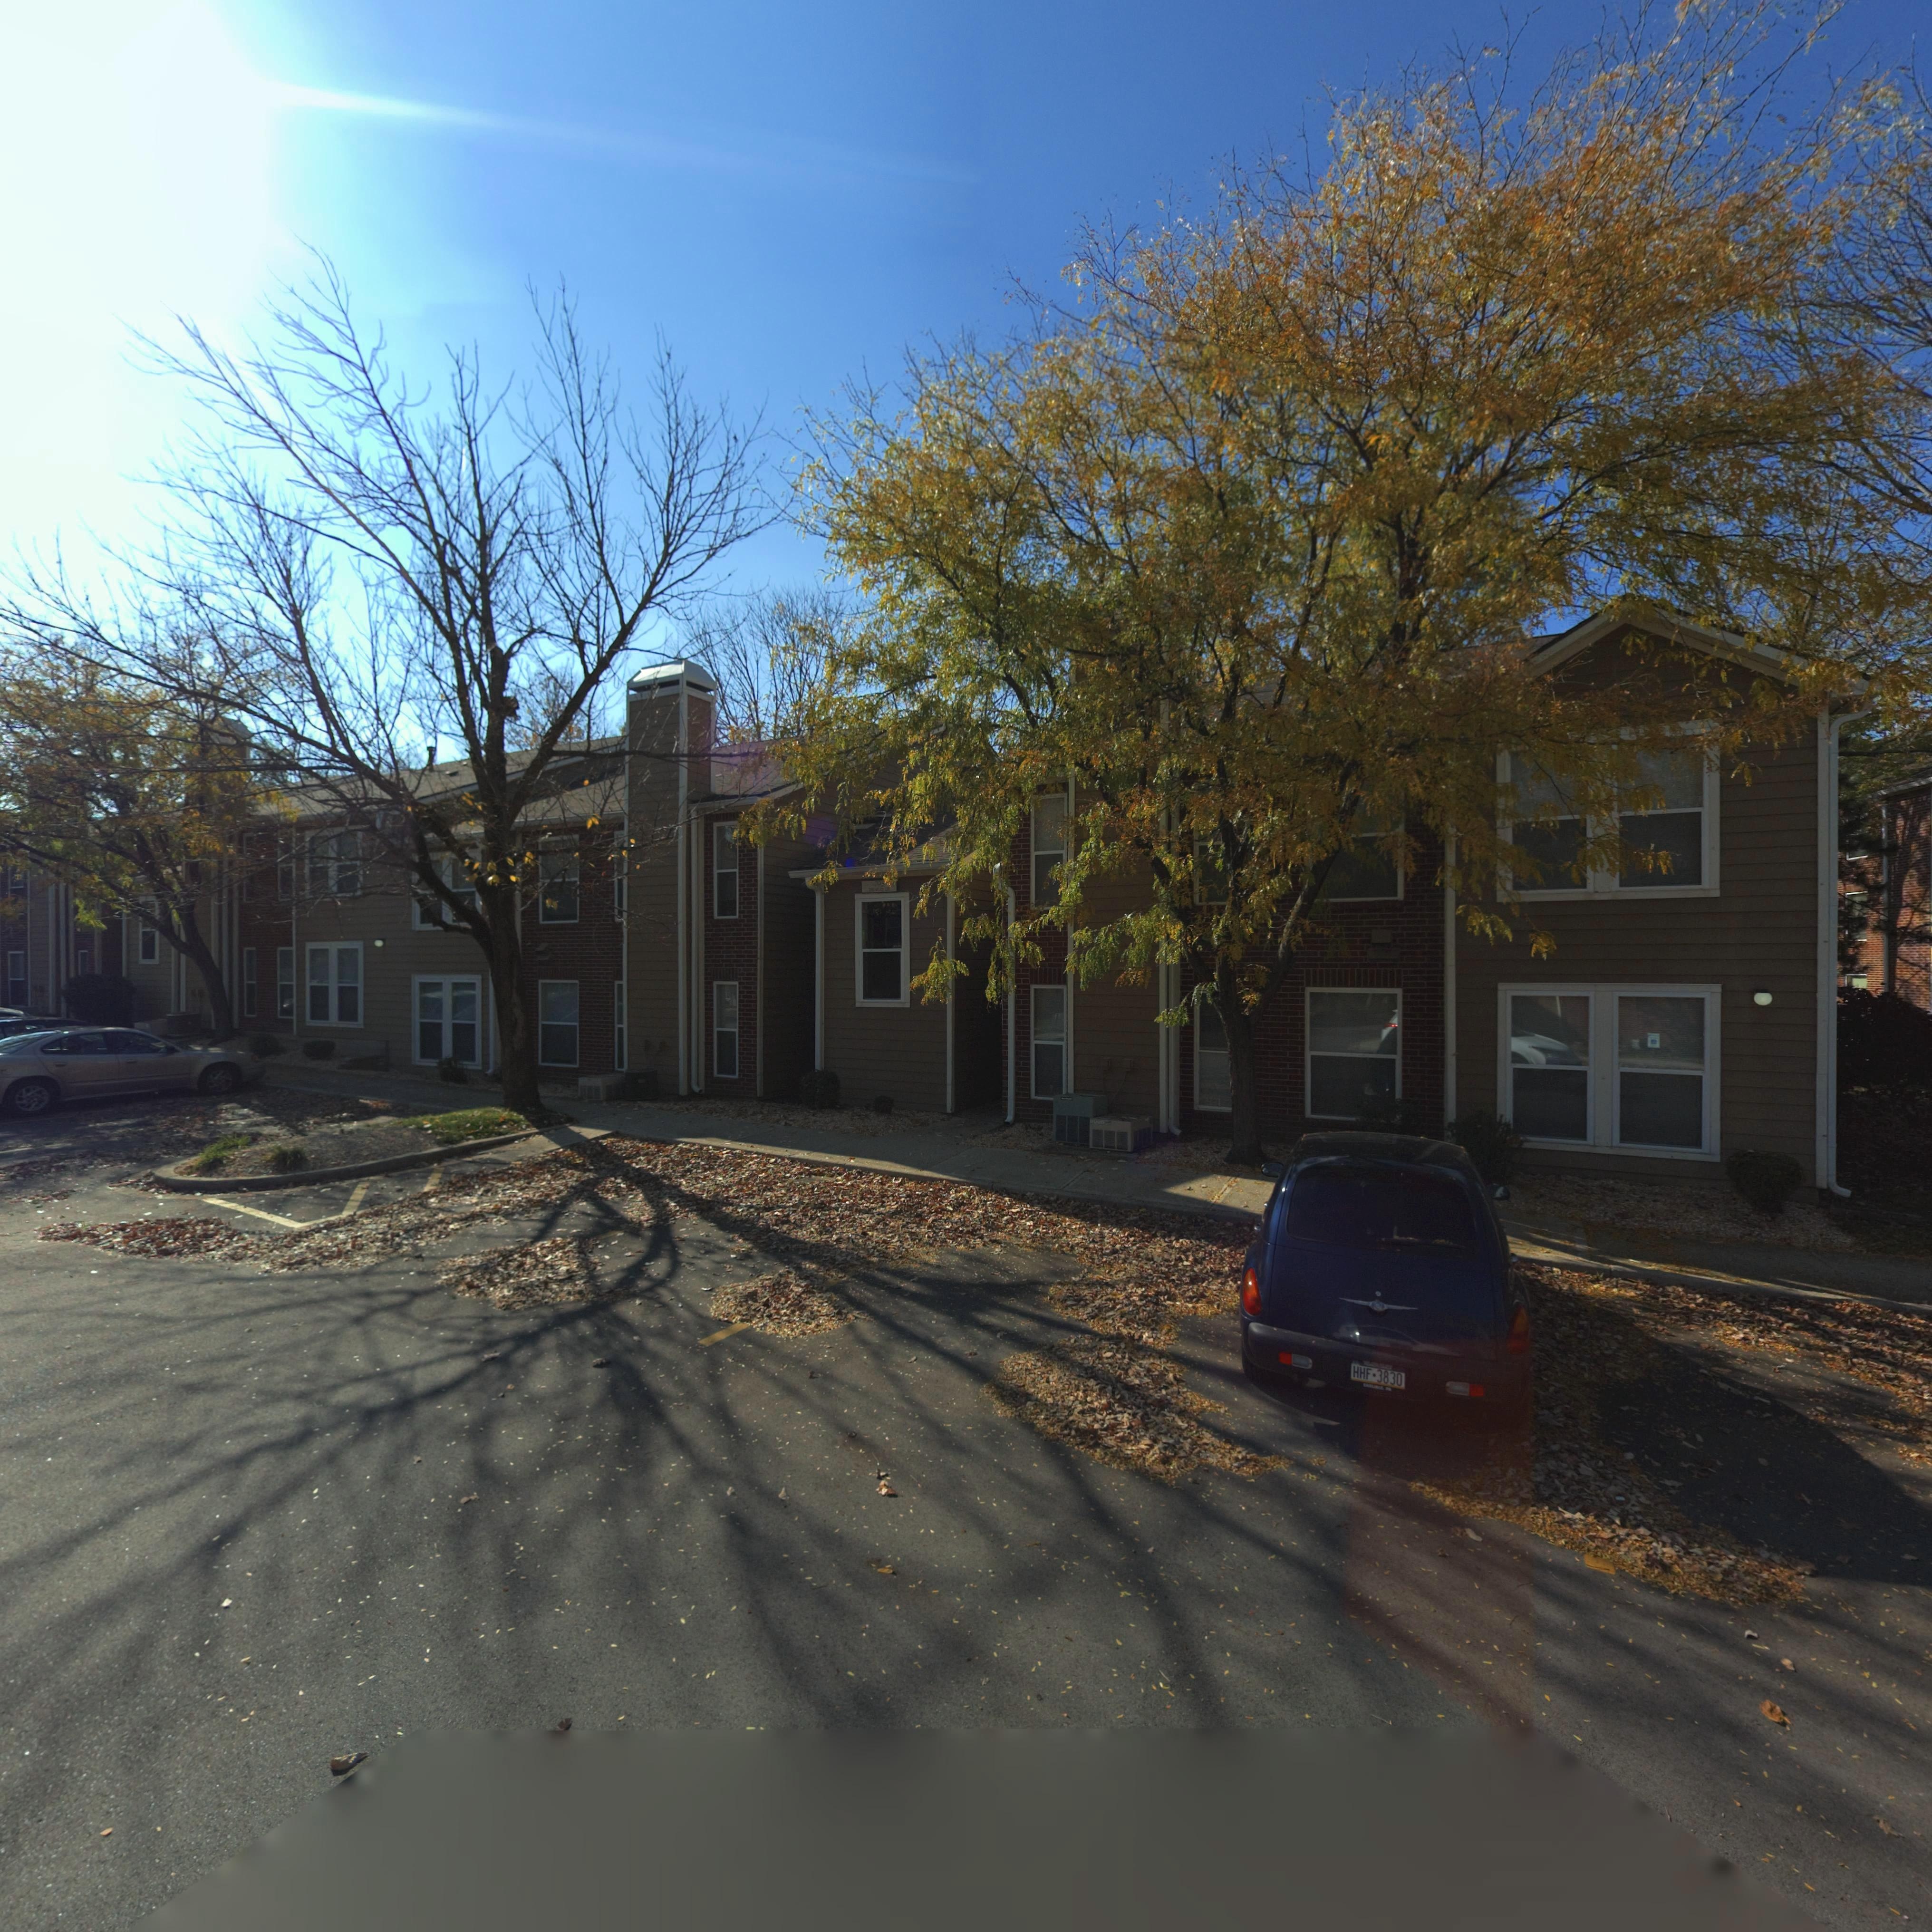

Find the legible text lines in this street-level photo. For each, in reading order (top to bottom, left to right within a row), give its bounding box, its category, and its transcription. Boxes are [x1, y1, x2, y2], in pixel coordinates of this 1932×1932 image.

[1352, 1362, 1404, 1389] None: HHF-3830